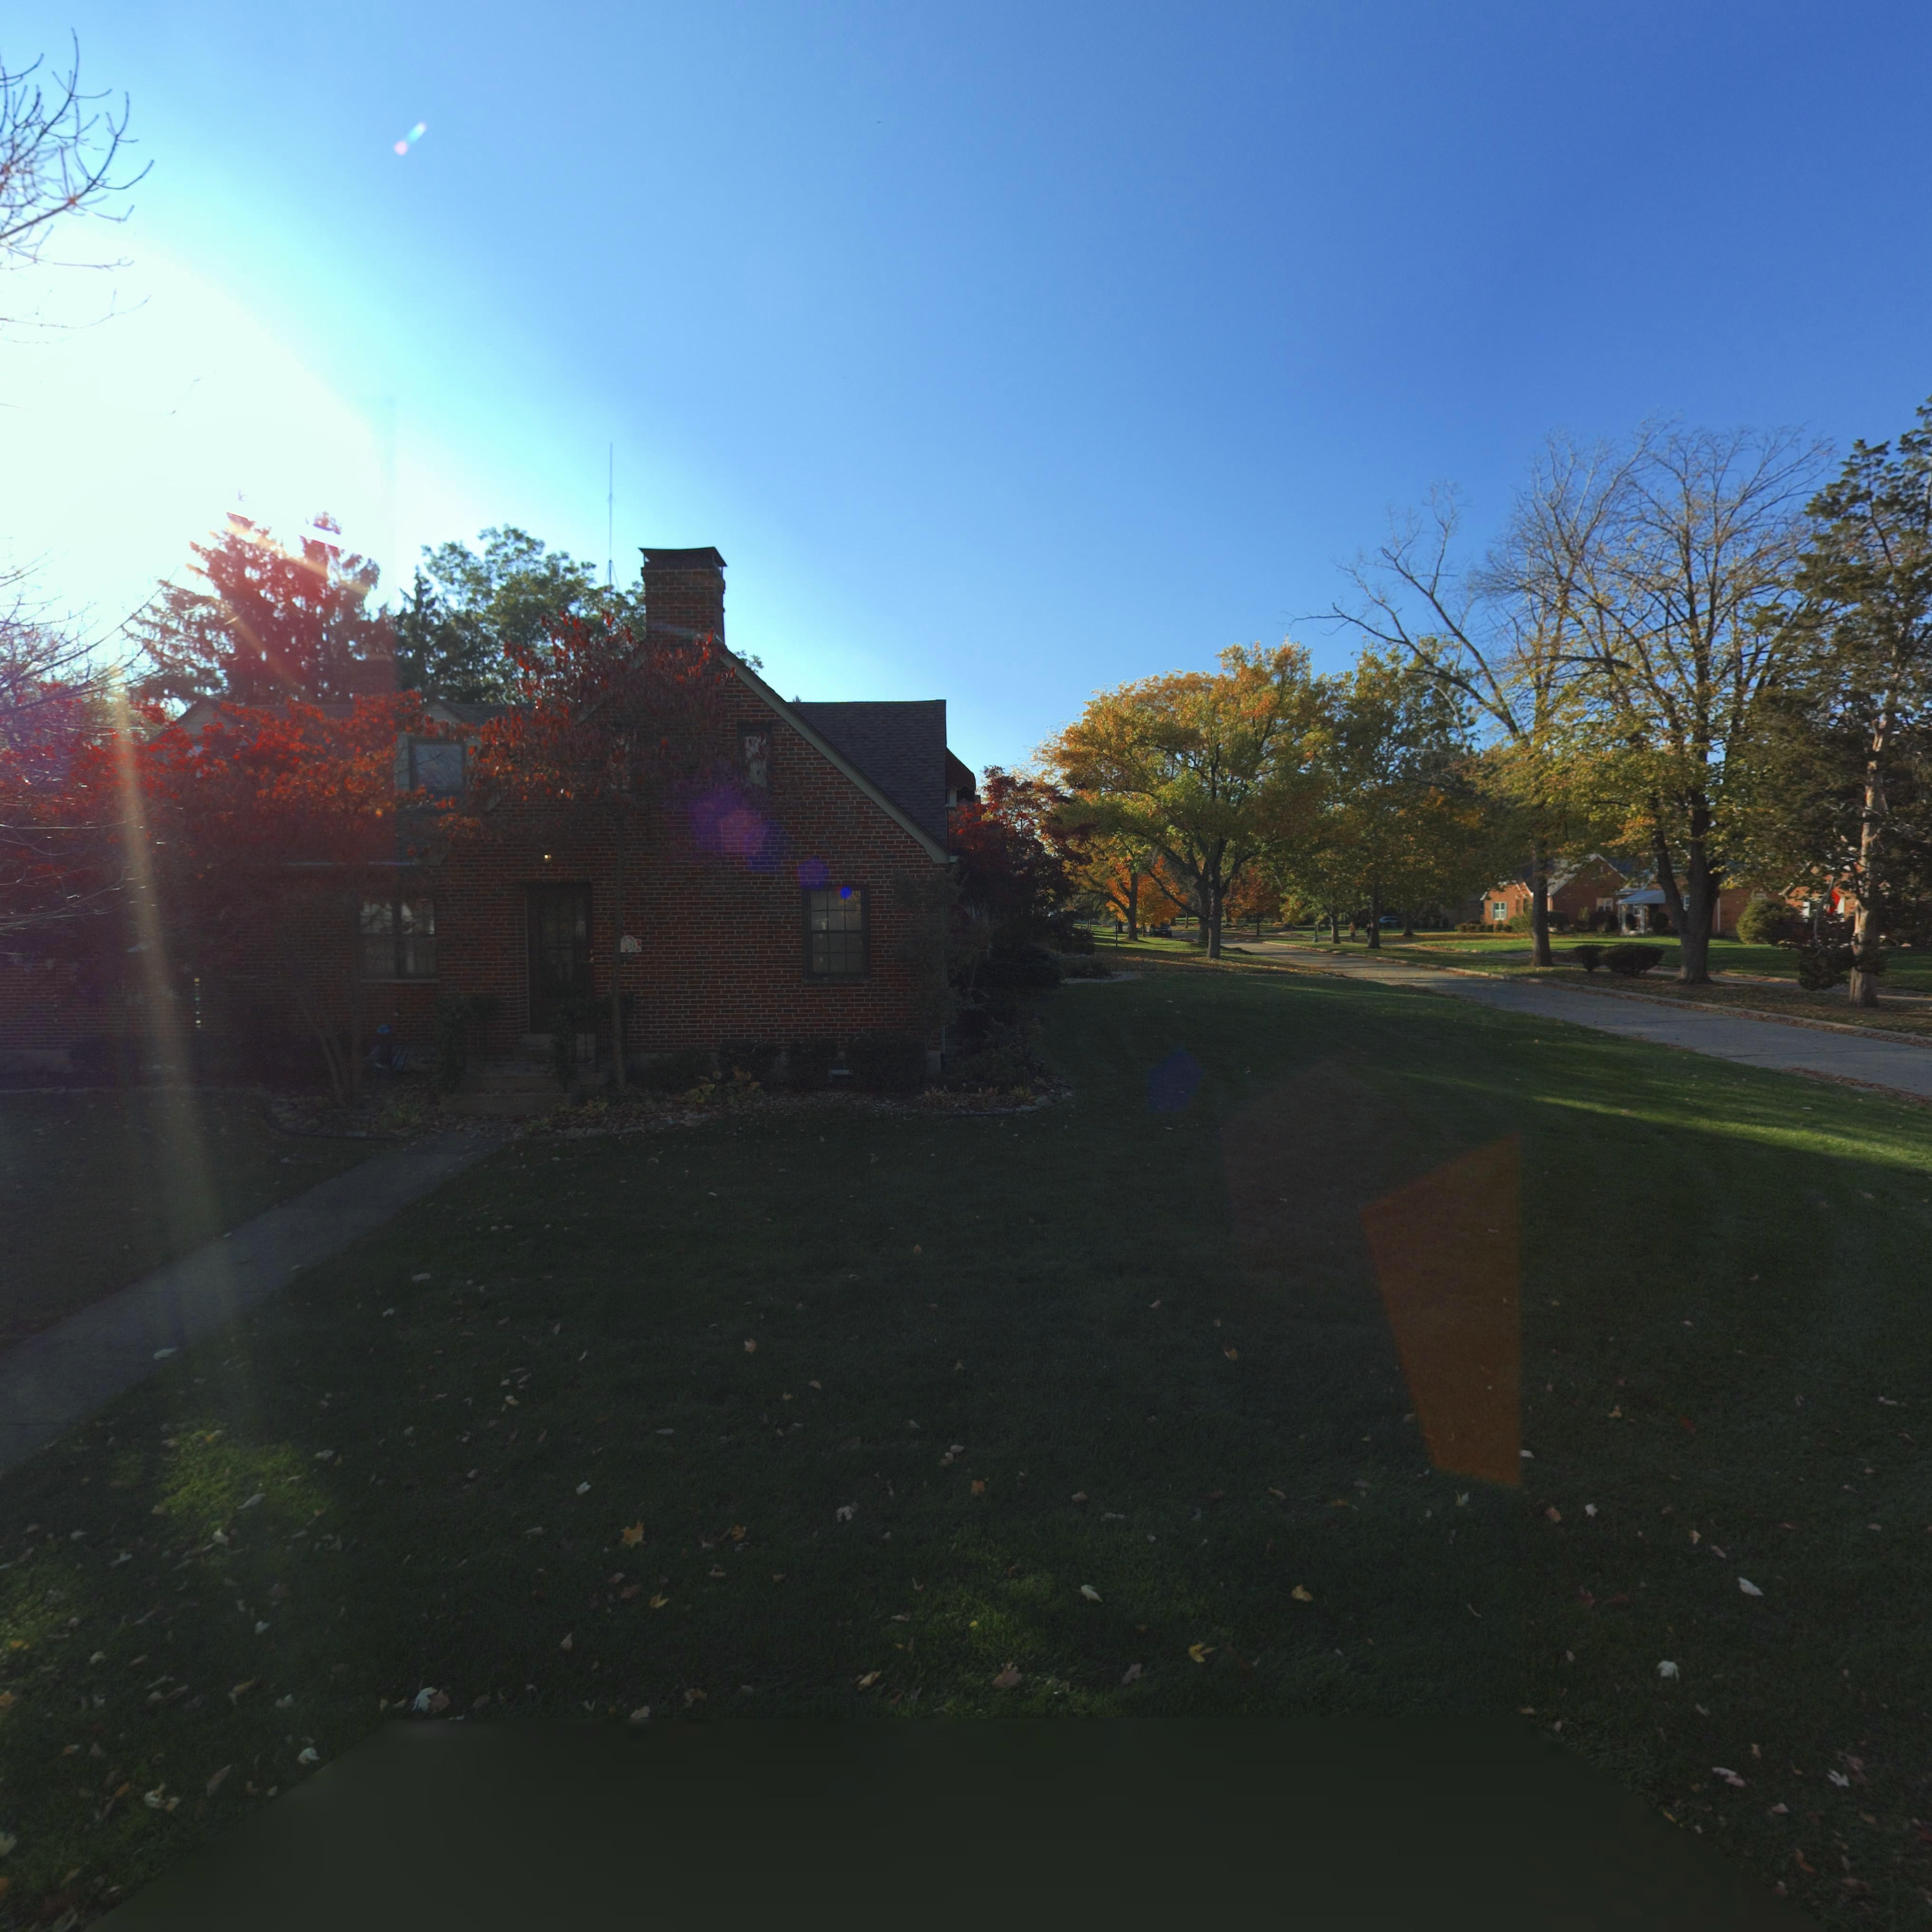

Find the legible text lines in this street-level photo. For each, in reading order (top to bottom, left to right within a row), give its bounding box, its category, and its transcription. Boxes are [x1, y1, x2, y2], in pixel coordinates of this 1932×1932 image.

[623, 942, 637, 948] StreetNumber: 356